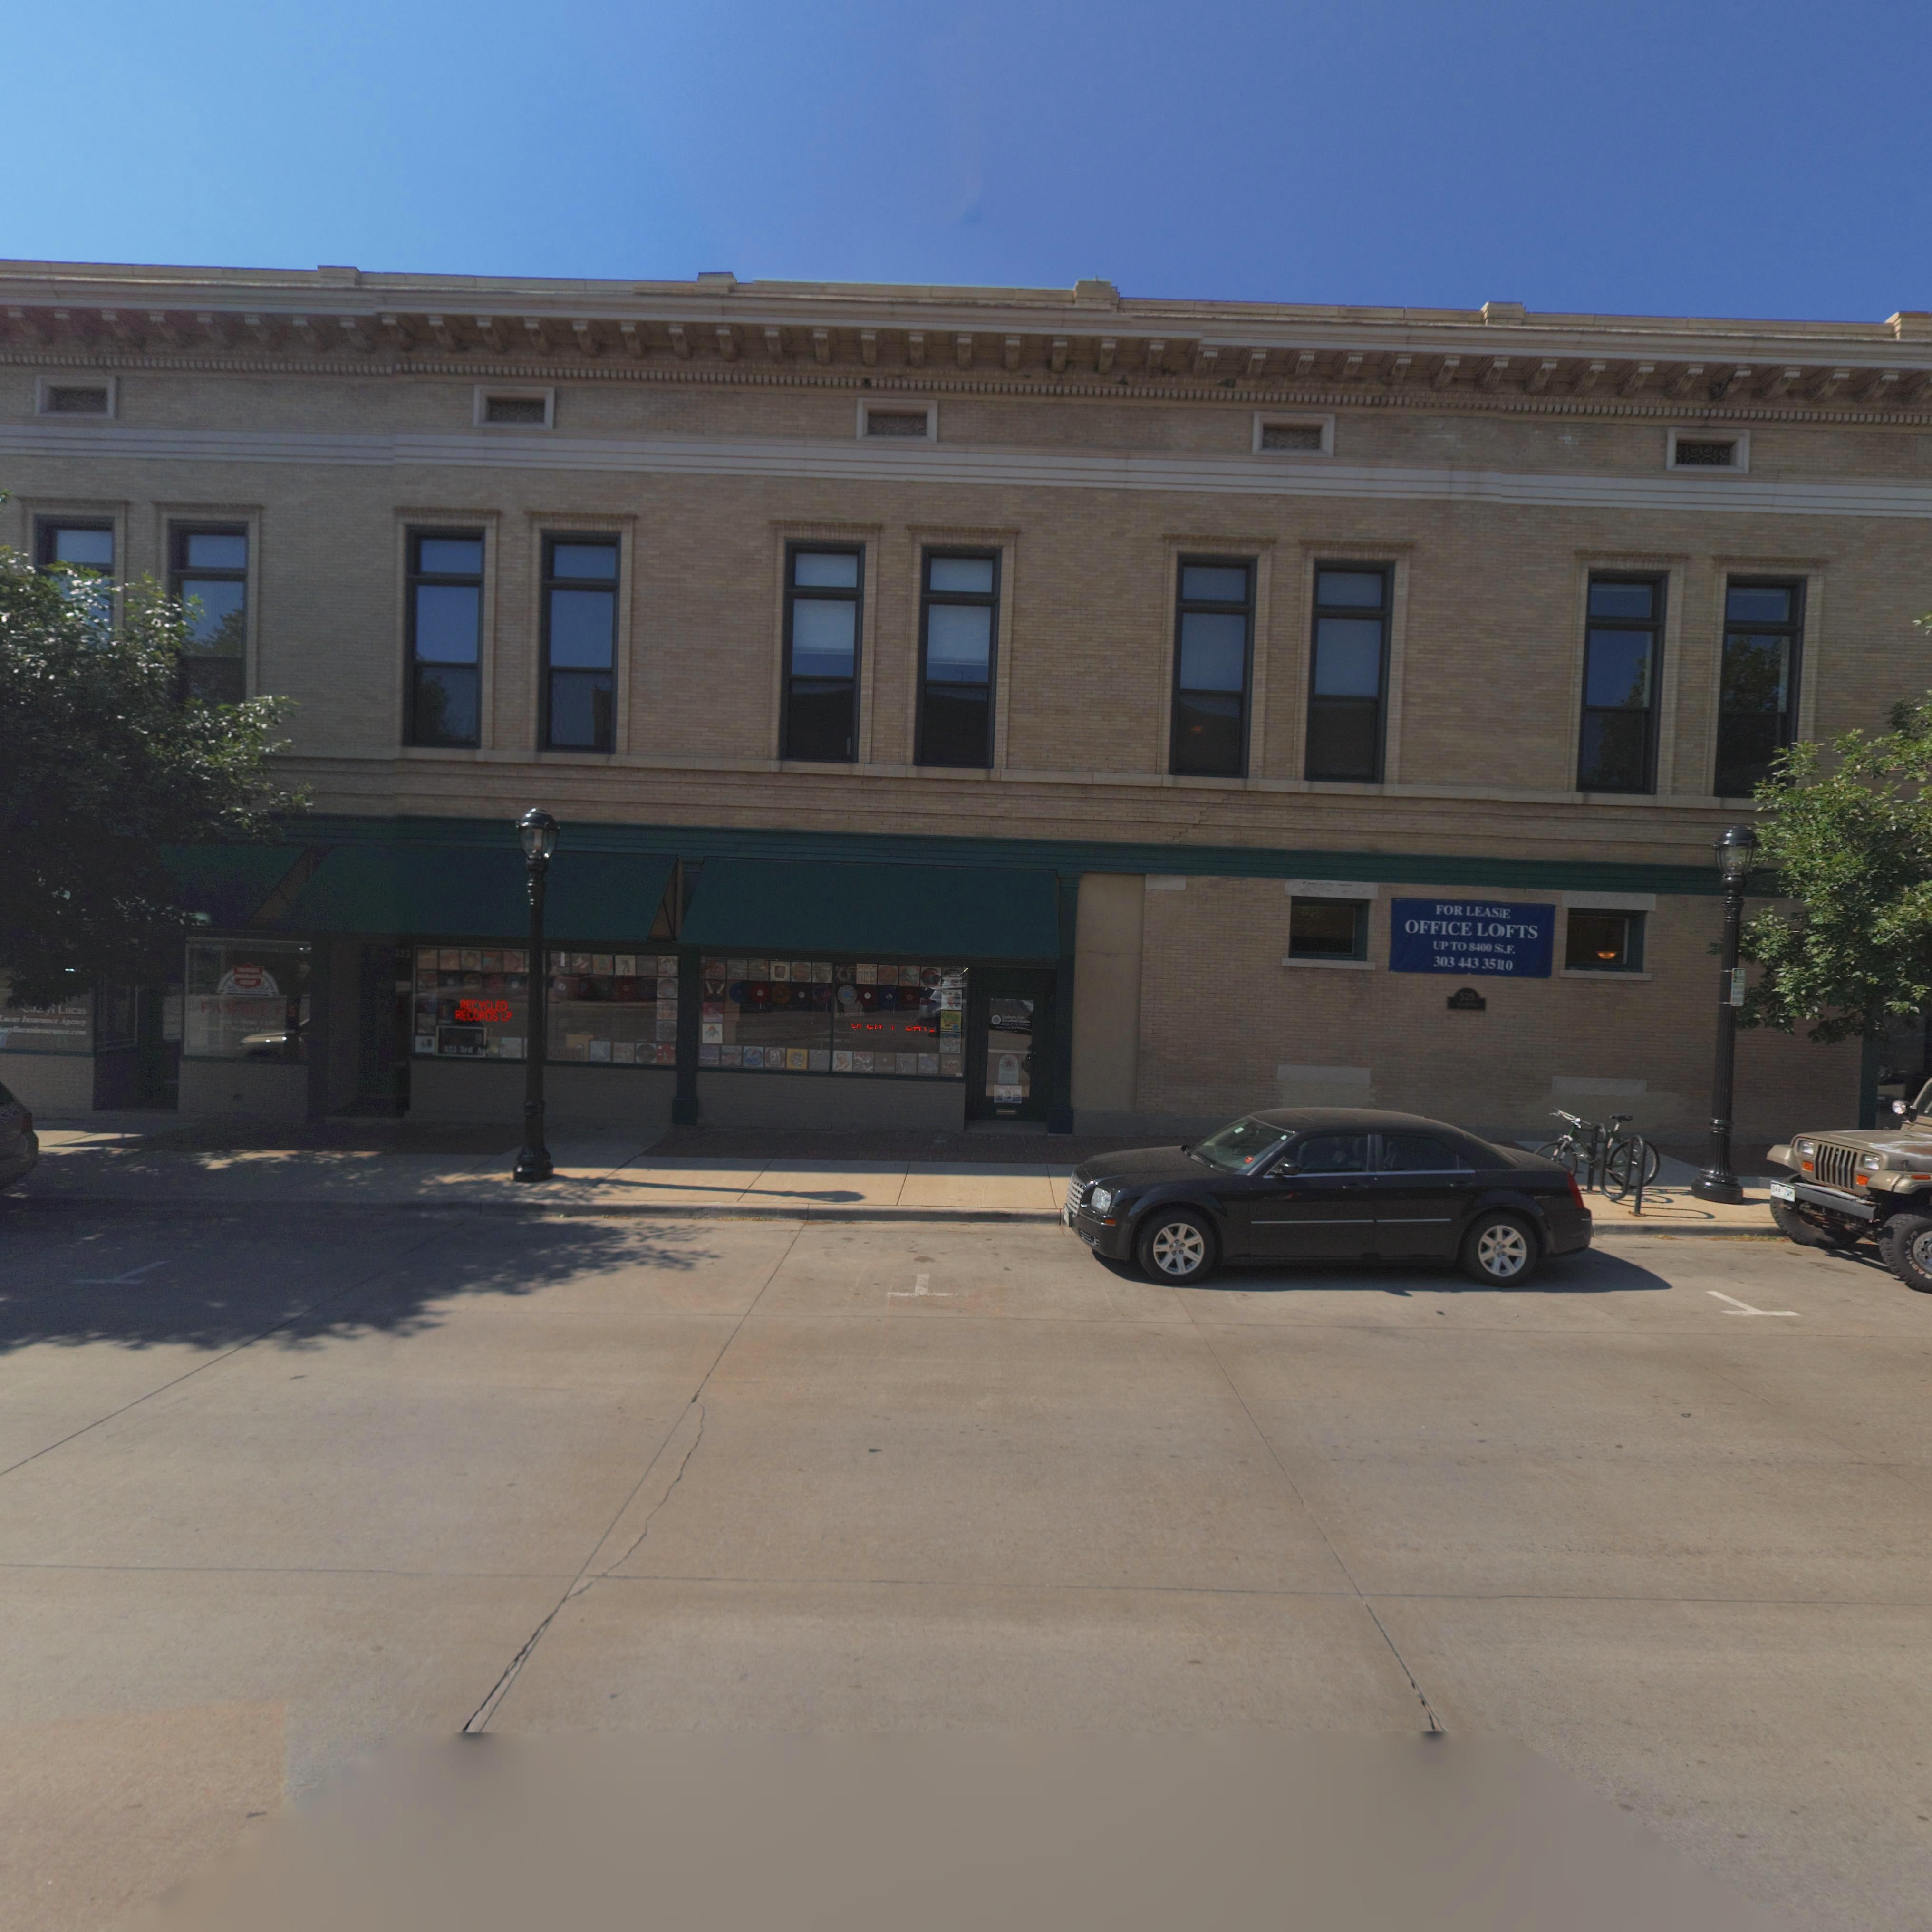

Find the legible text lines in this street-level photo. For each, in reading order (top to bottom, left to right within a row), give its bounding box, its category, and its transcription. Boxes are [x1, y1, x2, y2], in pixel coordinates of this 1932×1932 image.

[393, 947, 412, 959] StreetNumber: 525
[1458, 992, 1476, 1001] StreetNumber: 525
[200, 1000, 298, 1018] BusinessName: FARMERS
[454, 1009, 513, 1022] BusinessName: RECORDS LP
[460, 998, 509, 1011] BusinessName: RECYCLED
[444, 1045, 457, 1053] StreetNumber: 525
[460, 1045, 489, 1054] StreetName: 3rd Ave